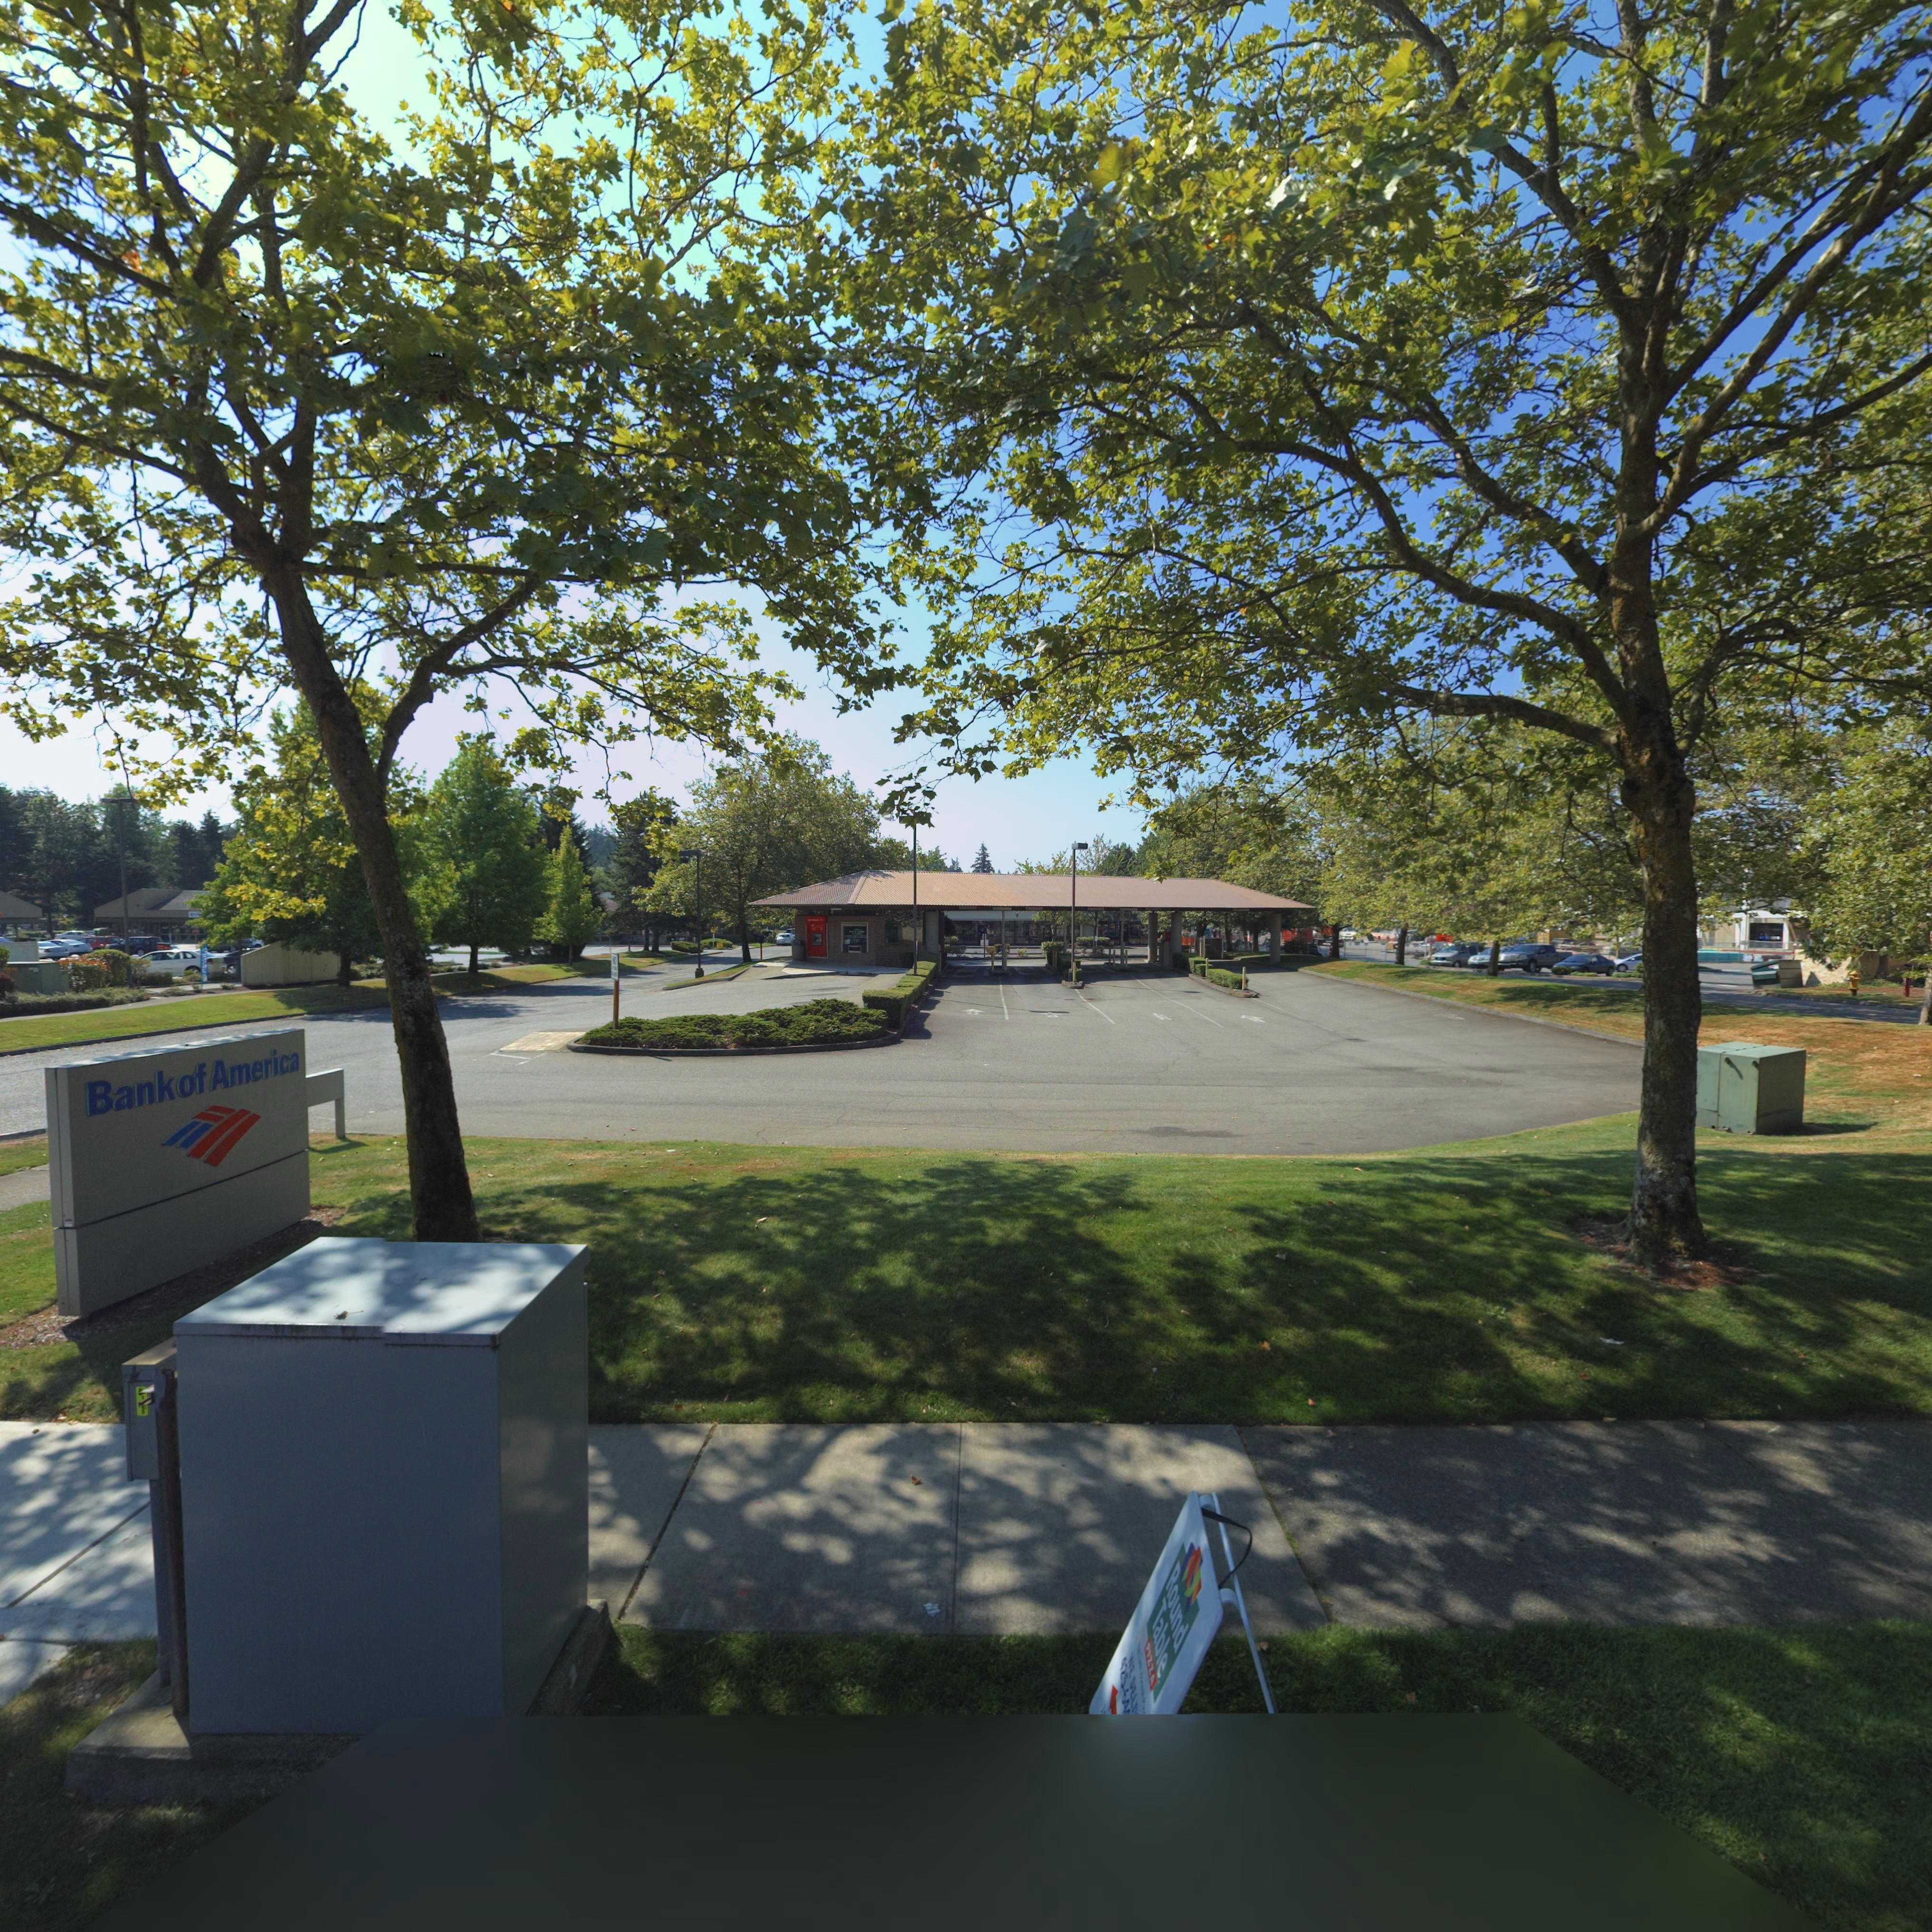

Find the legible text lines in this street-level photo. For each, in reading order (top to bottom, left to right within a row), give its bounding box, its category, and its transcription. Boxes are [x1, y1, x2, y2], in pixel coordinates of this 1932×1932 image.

[81, 1049, 299, 1117] BusinessName: Bank of America
[1146, 1642, 1155, 1686] BusinessName: PIZZA
[1152, 1596, 1170, 1679] BusinessName: Table
[1165, 1561, 1188, 1653] BusinessName: Round